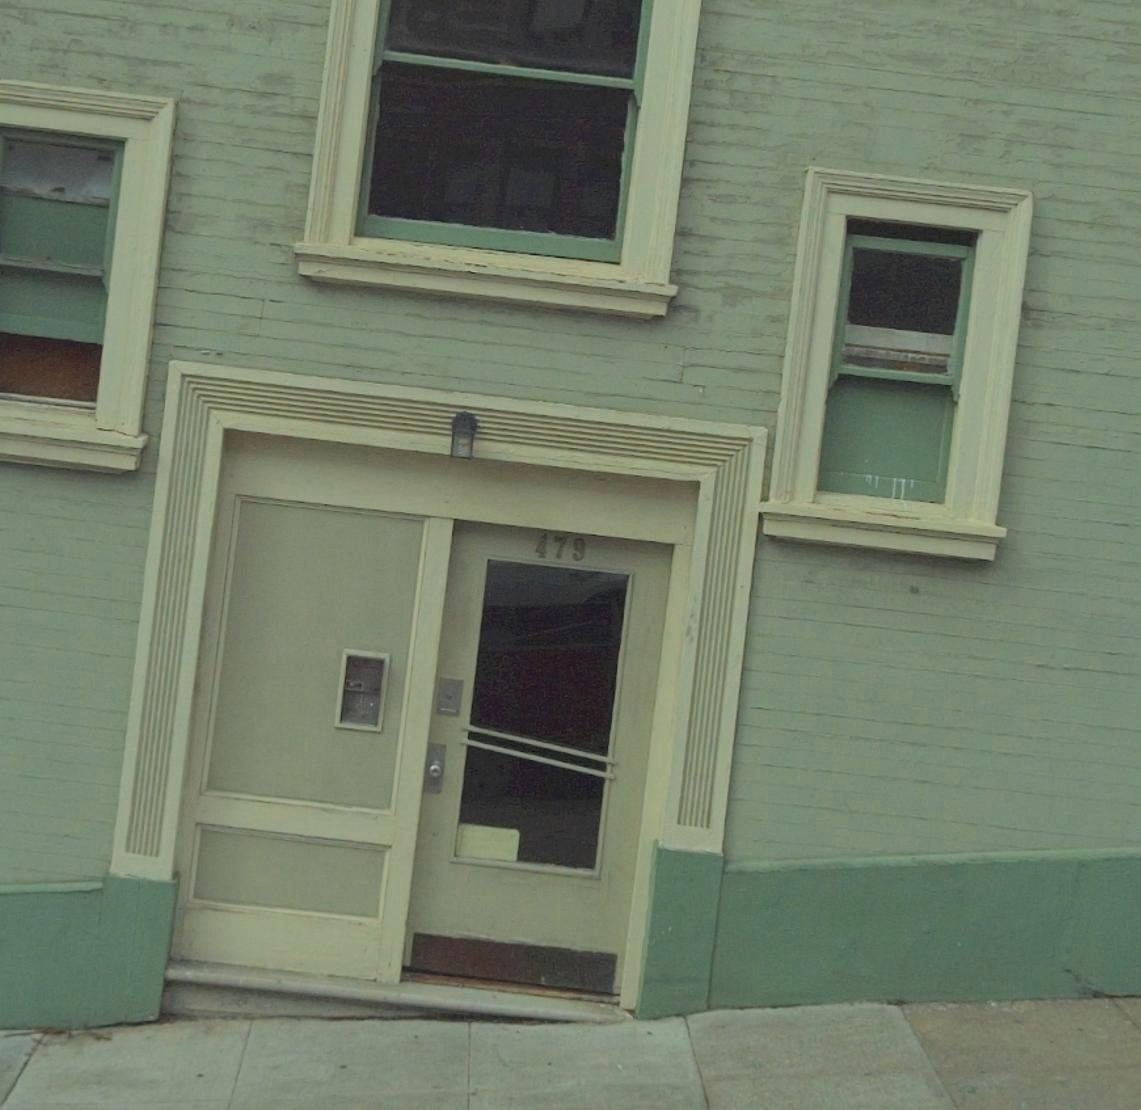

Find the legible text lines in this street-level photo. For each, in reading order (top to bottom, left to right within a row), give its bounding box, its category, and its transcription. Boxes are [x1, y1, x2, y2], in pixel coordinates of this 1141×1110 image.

[530, 530, 588, 565] StreetNumber: 479